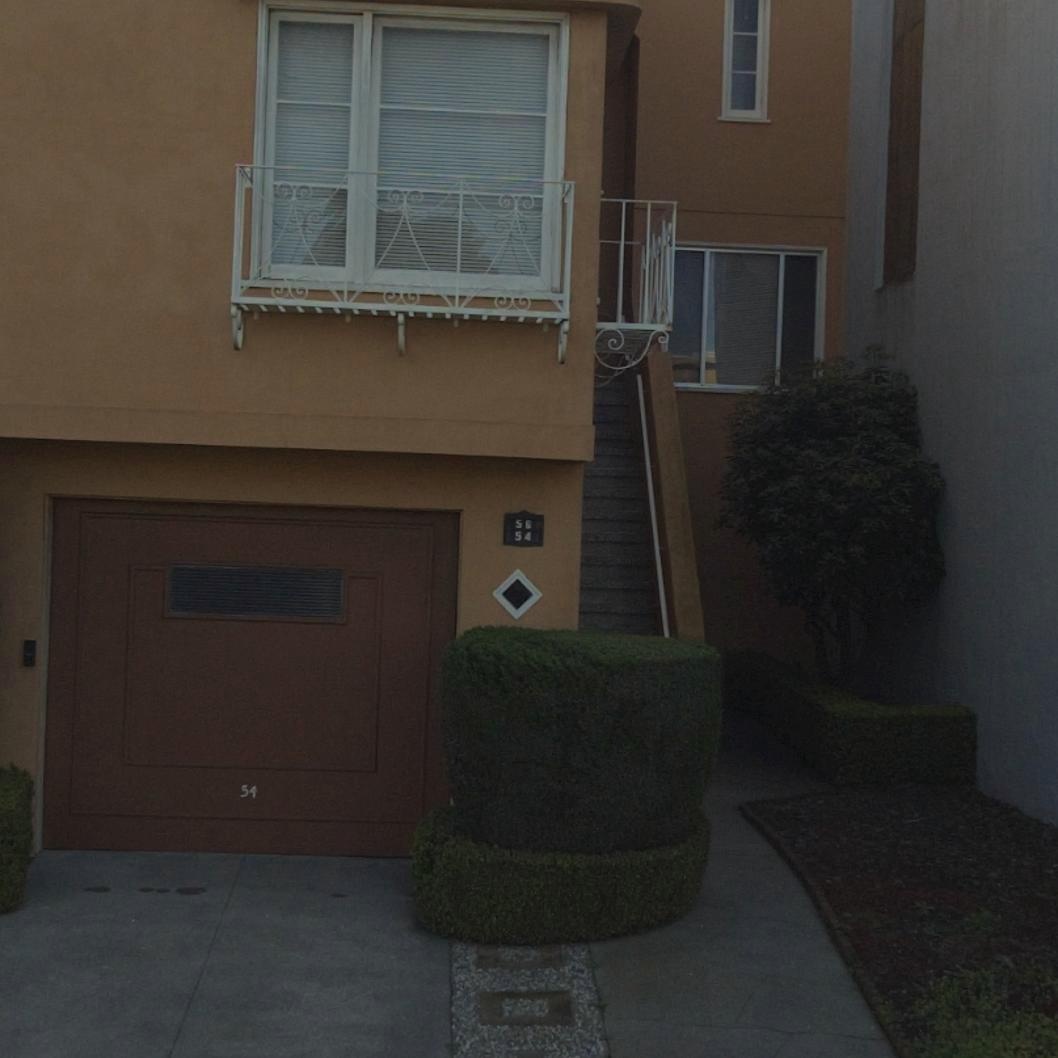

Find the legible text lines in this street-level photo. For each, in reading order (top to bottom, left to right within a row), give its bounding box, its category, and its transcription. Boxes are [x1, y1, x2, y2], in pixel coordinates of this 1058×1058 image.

[513, 517, 533, 531] StreetNumber: 56
[513, 529, 534, 543] StreetNumber: 54
[237, 782, 260, 800] StreetNumber: 54